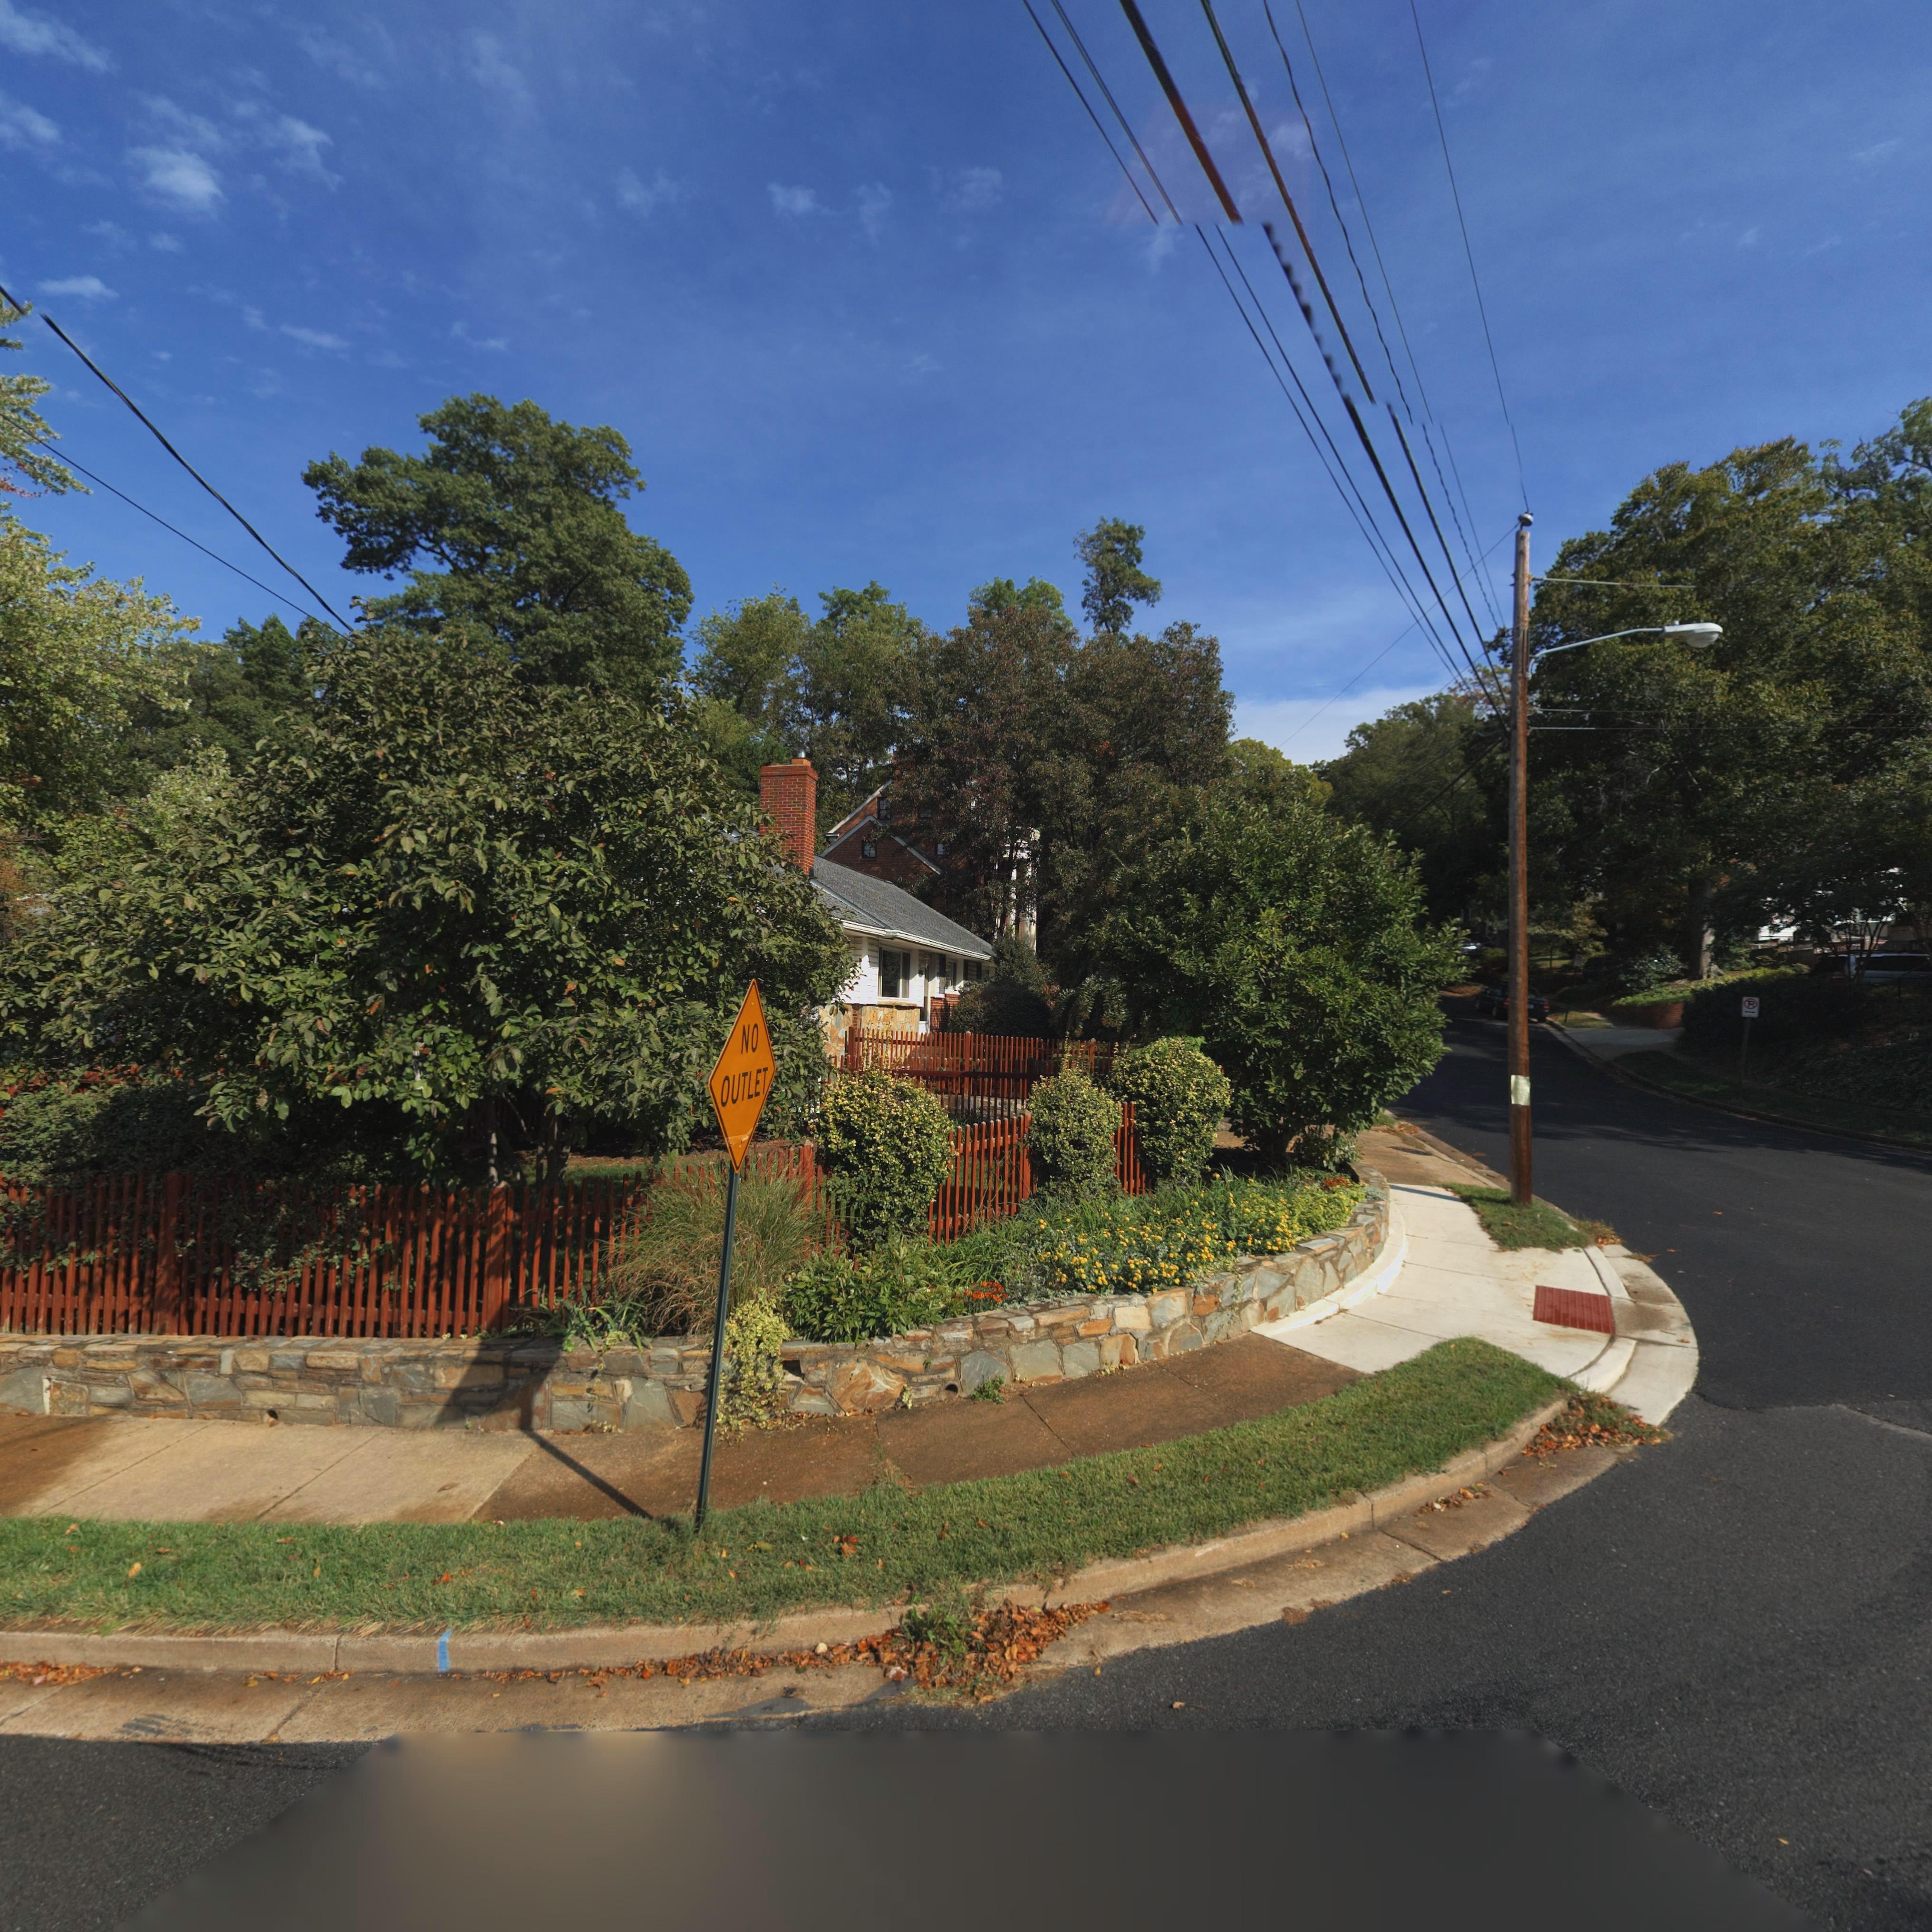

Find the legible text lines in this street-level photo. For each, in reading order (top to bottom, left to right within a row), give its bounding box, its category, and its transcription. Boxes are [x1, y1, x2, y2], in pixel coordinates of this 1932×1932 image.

[739, 1020, 761, 1057] None: NO
[719, 1064, 770, 1110] None: OUTLET